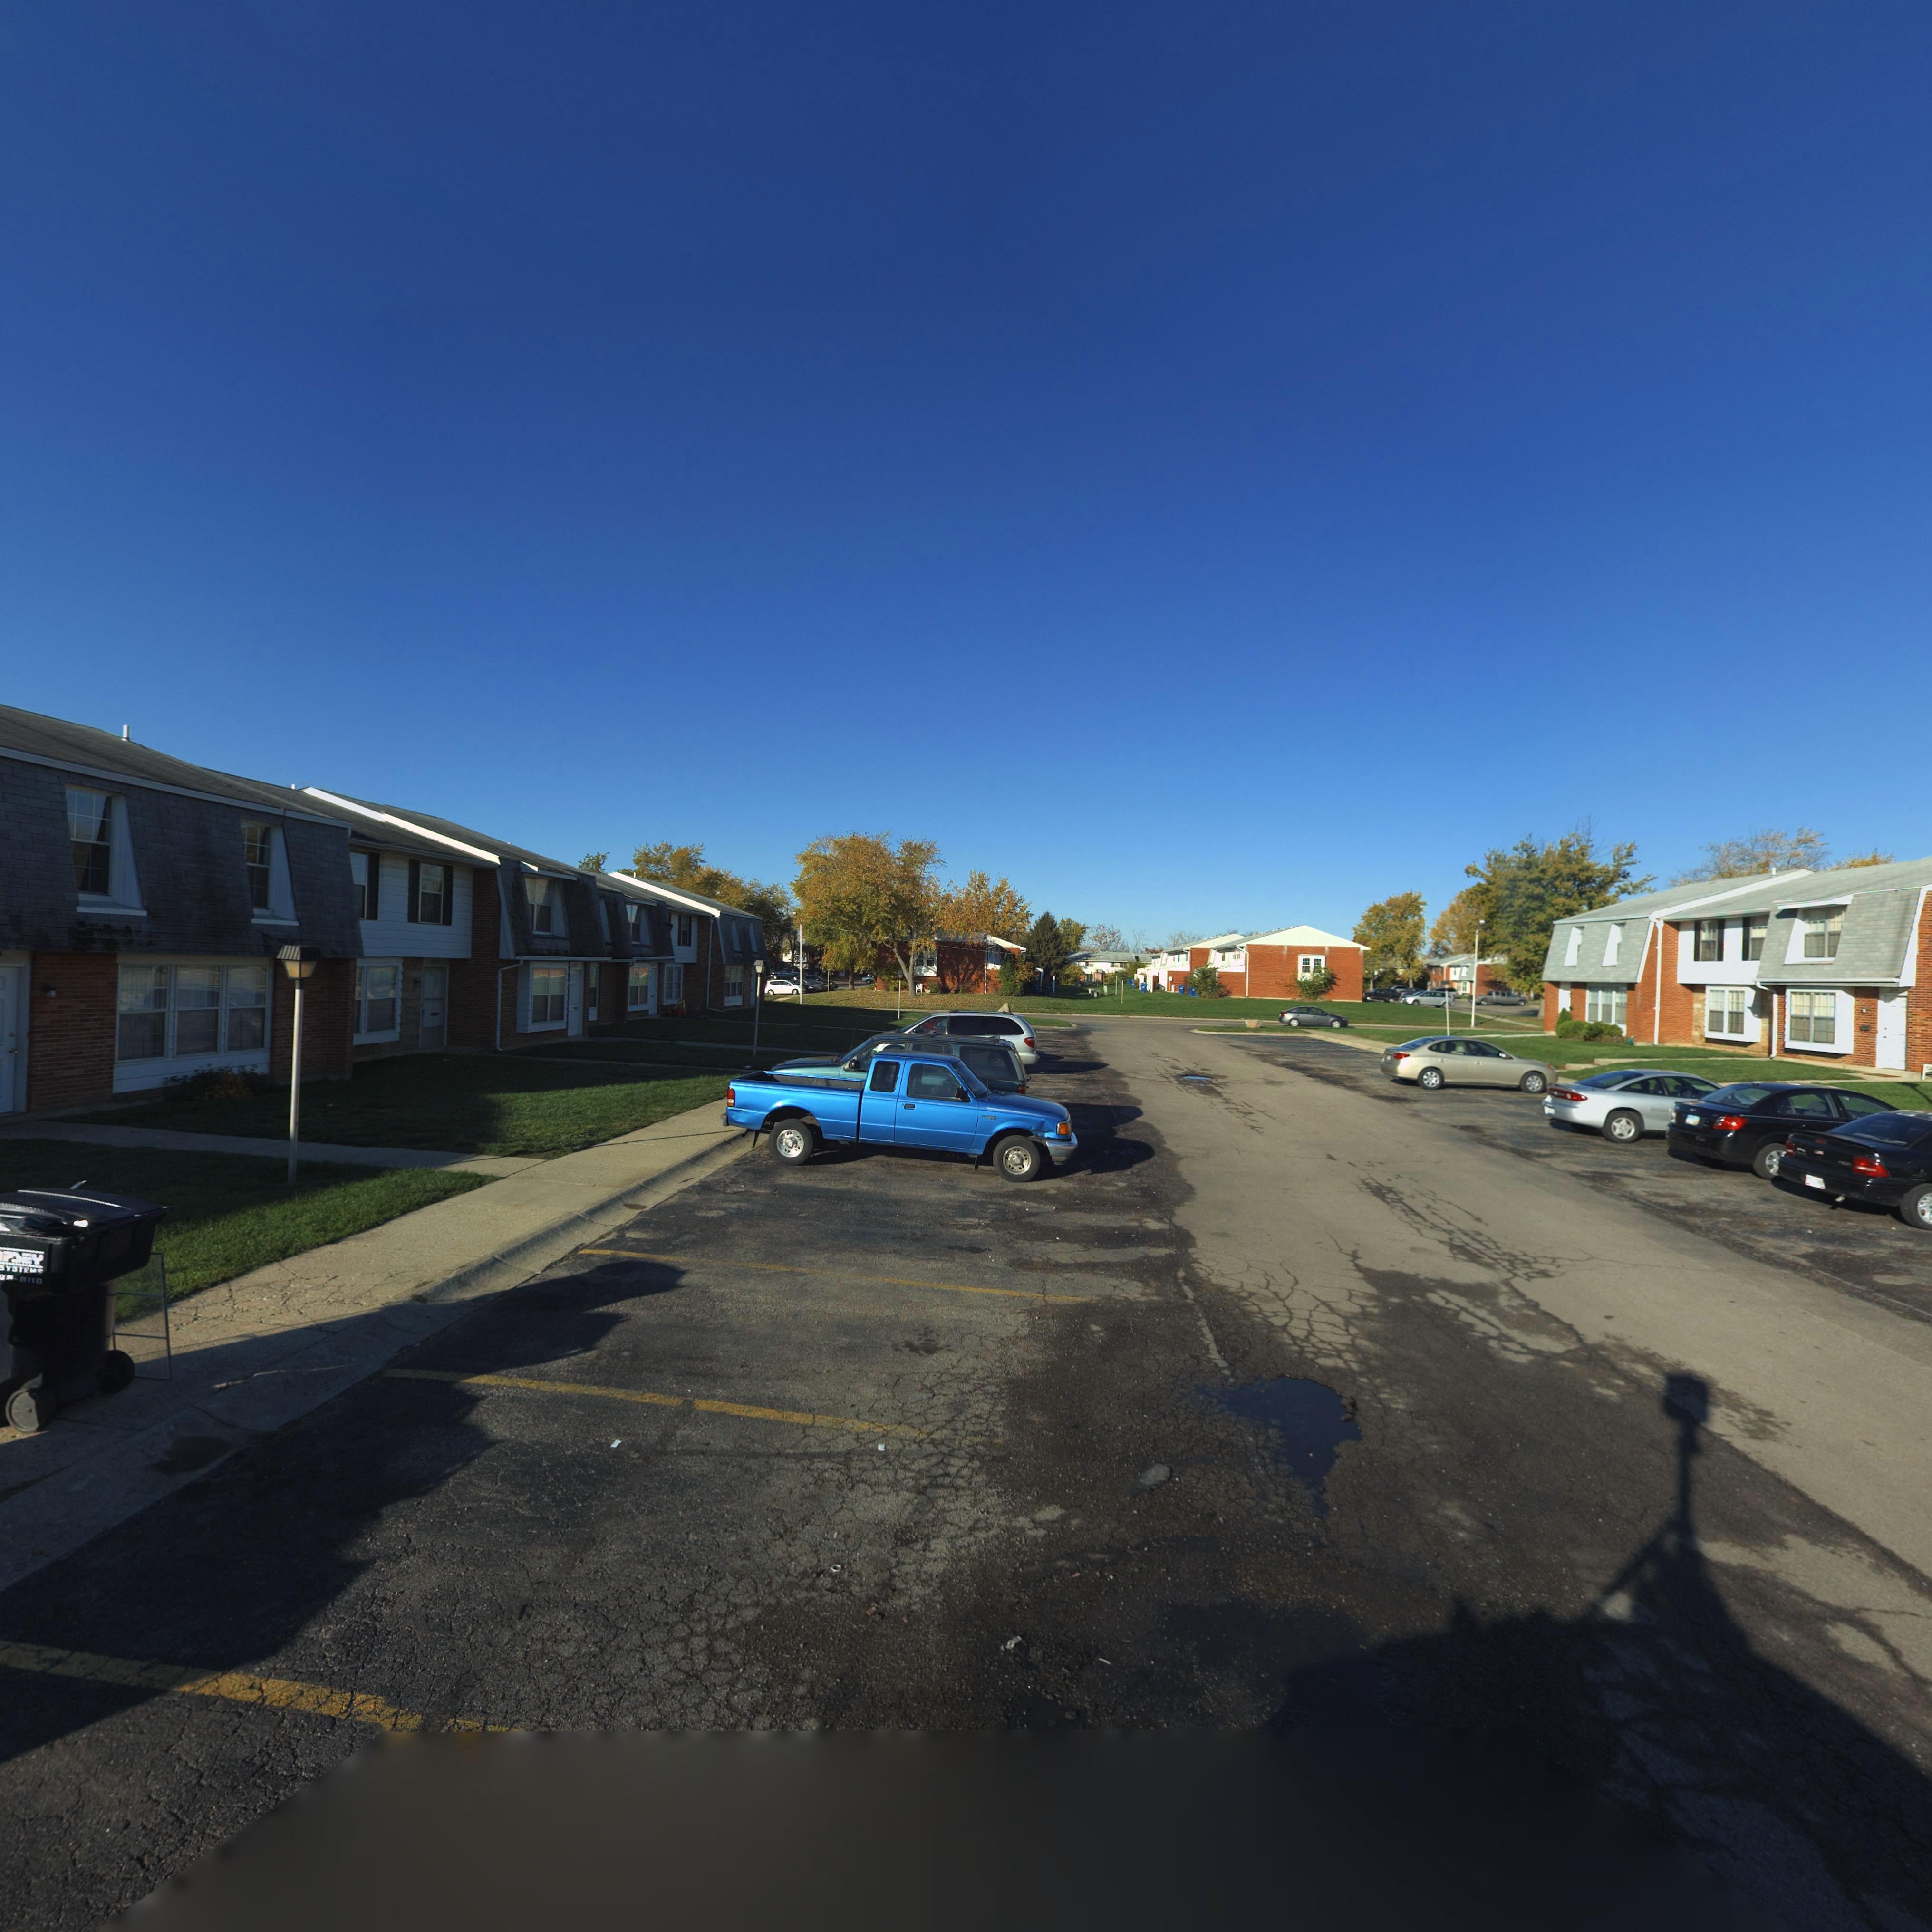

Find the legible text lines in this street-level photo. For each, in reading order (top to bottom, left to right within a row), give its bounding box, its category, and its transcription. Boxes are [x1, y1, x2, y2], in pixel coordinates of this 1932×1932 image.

[430, 959, 442, 964] StreetNumber: 75**